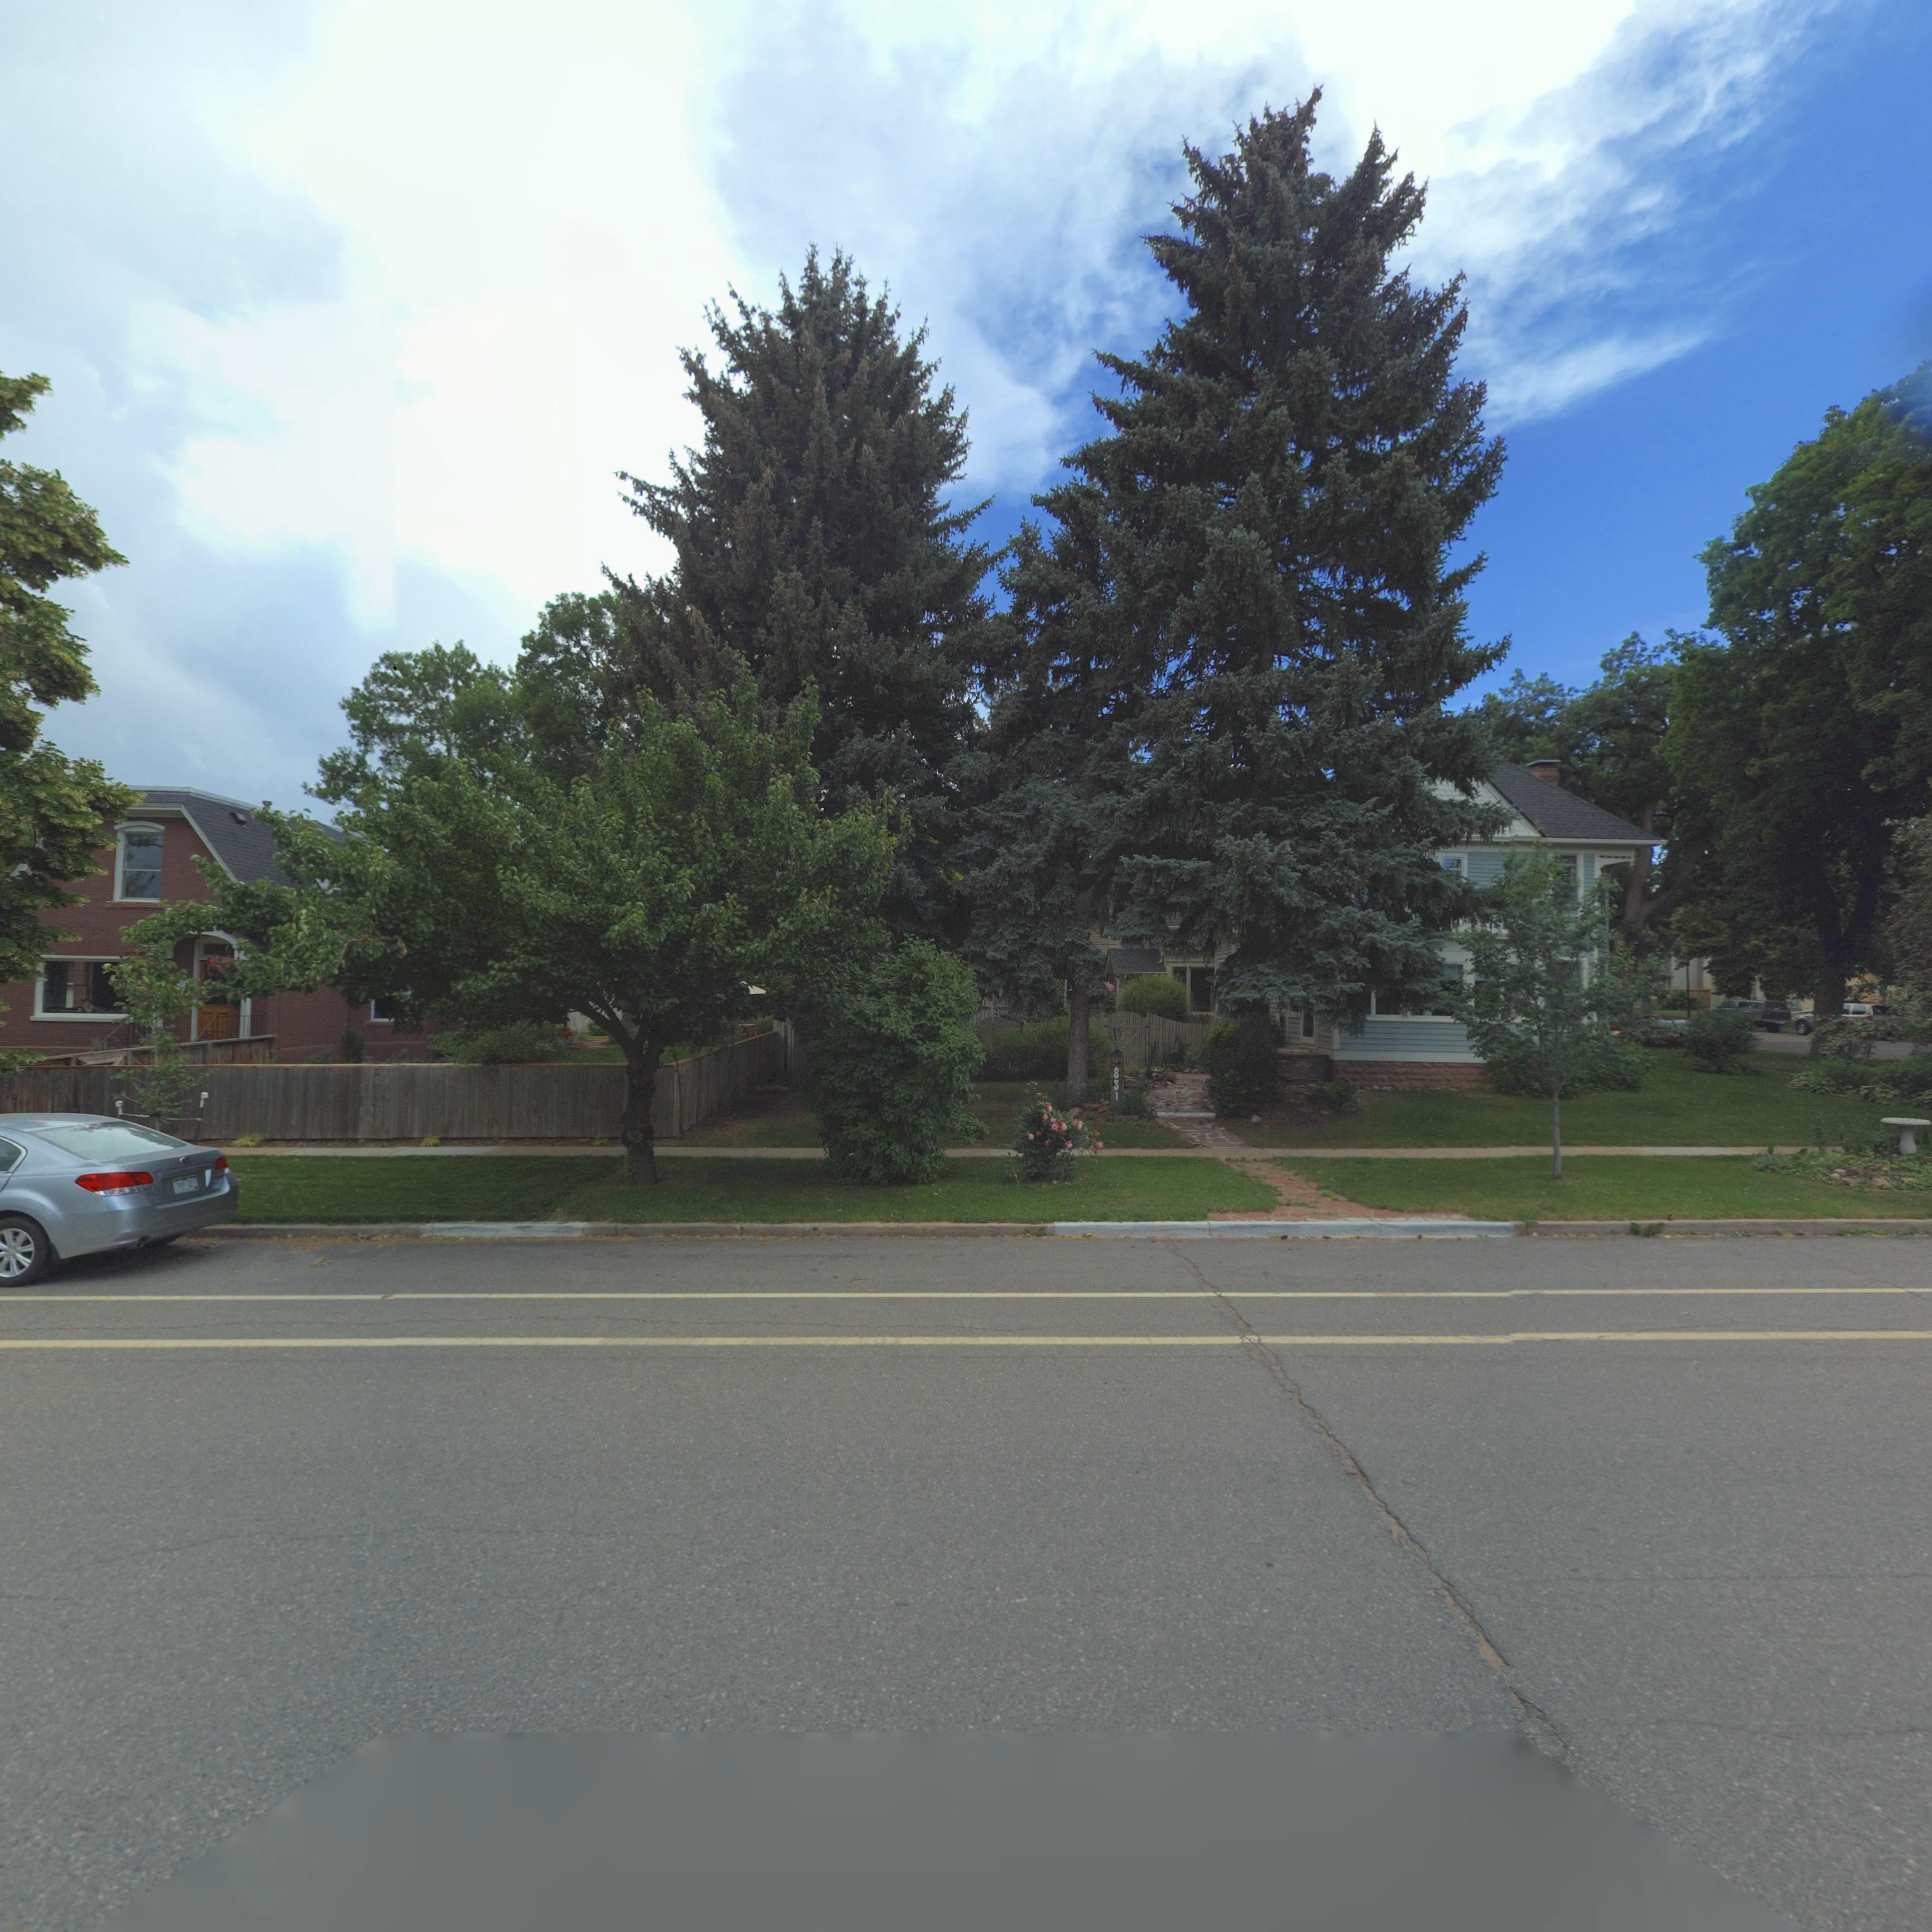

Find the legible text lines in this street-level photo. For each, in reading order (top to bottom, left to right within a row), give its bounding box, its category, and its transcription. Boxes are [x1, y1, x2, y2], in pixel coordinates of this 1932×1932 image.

[1113, 1067, 1119, 1101] StreetNumber: 831